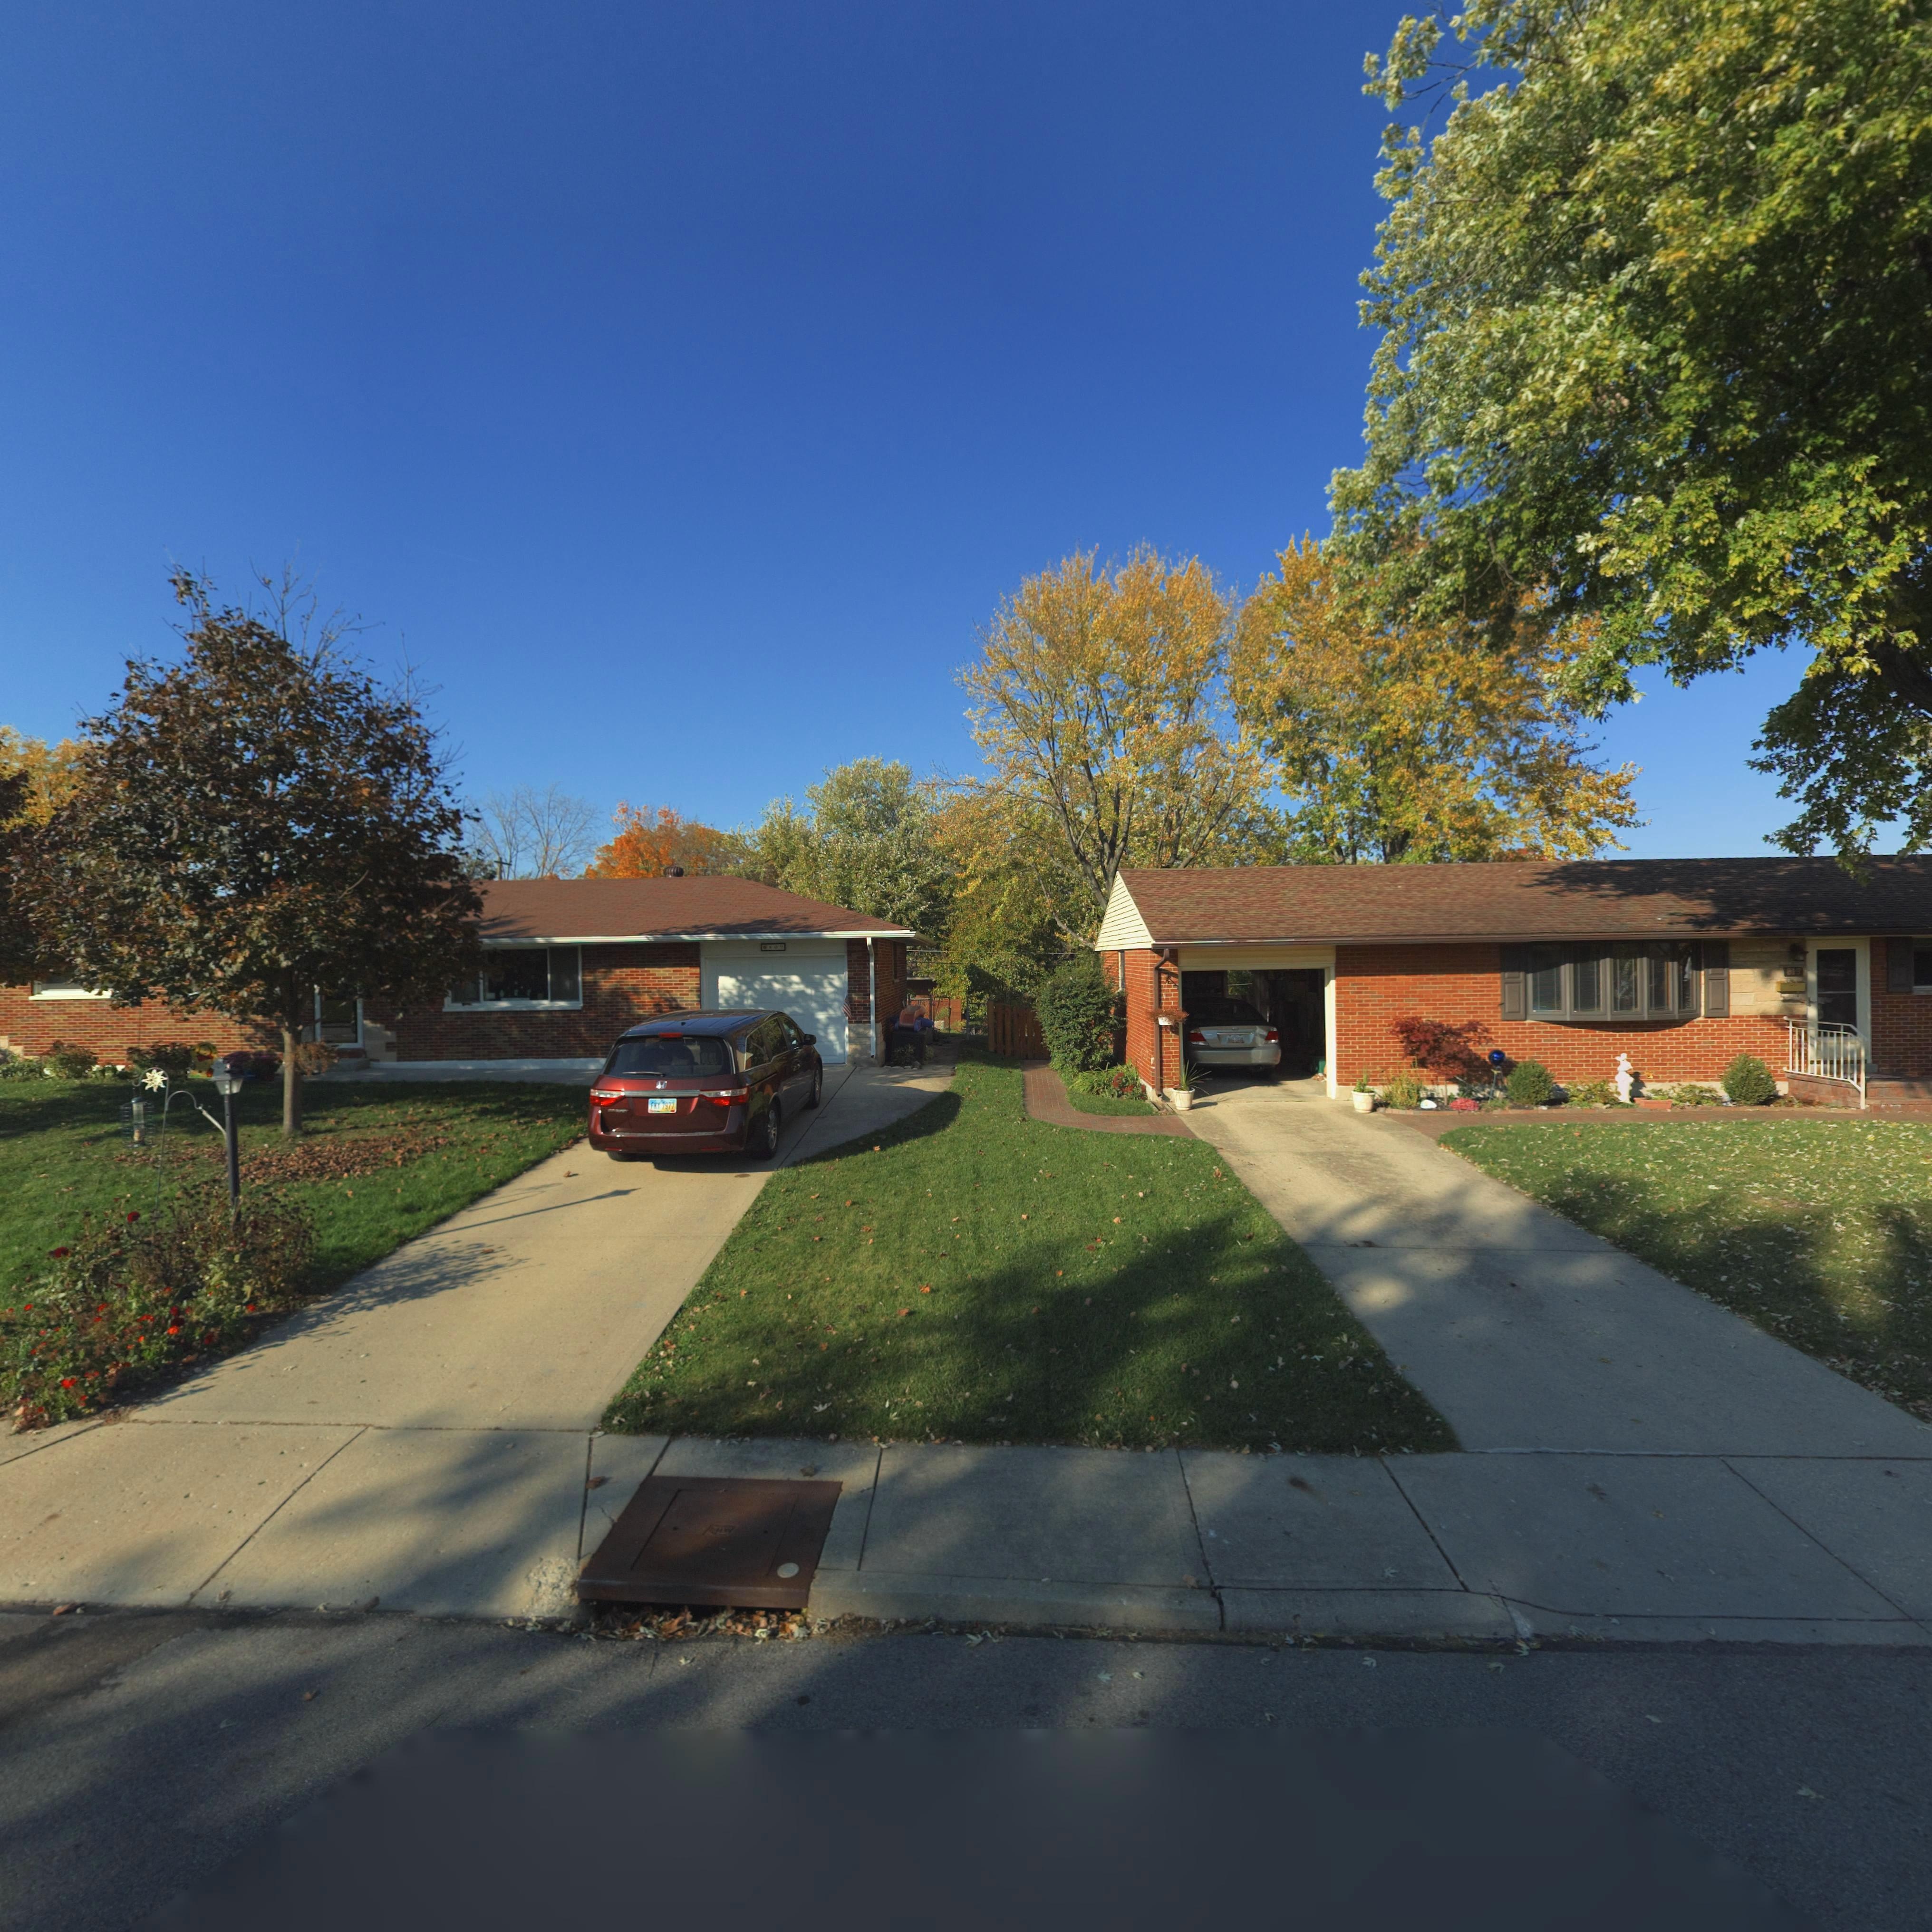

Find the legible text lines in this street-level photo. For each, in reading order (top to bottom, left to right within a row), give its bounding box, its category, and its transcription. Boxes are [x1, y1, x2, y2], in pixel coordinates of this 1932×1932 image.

[768, 945, 783, 950] StreetNumber: 809
[1787, 967, 1801, 976] StreetNumber: 813